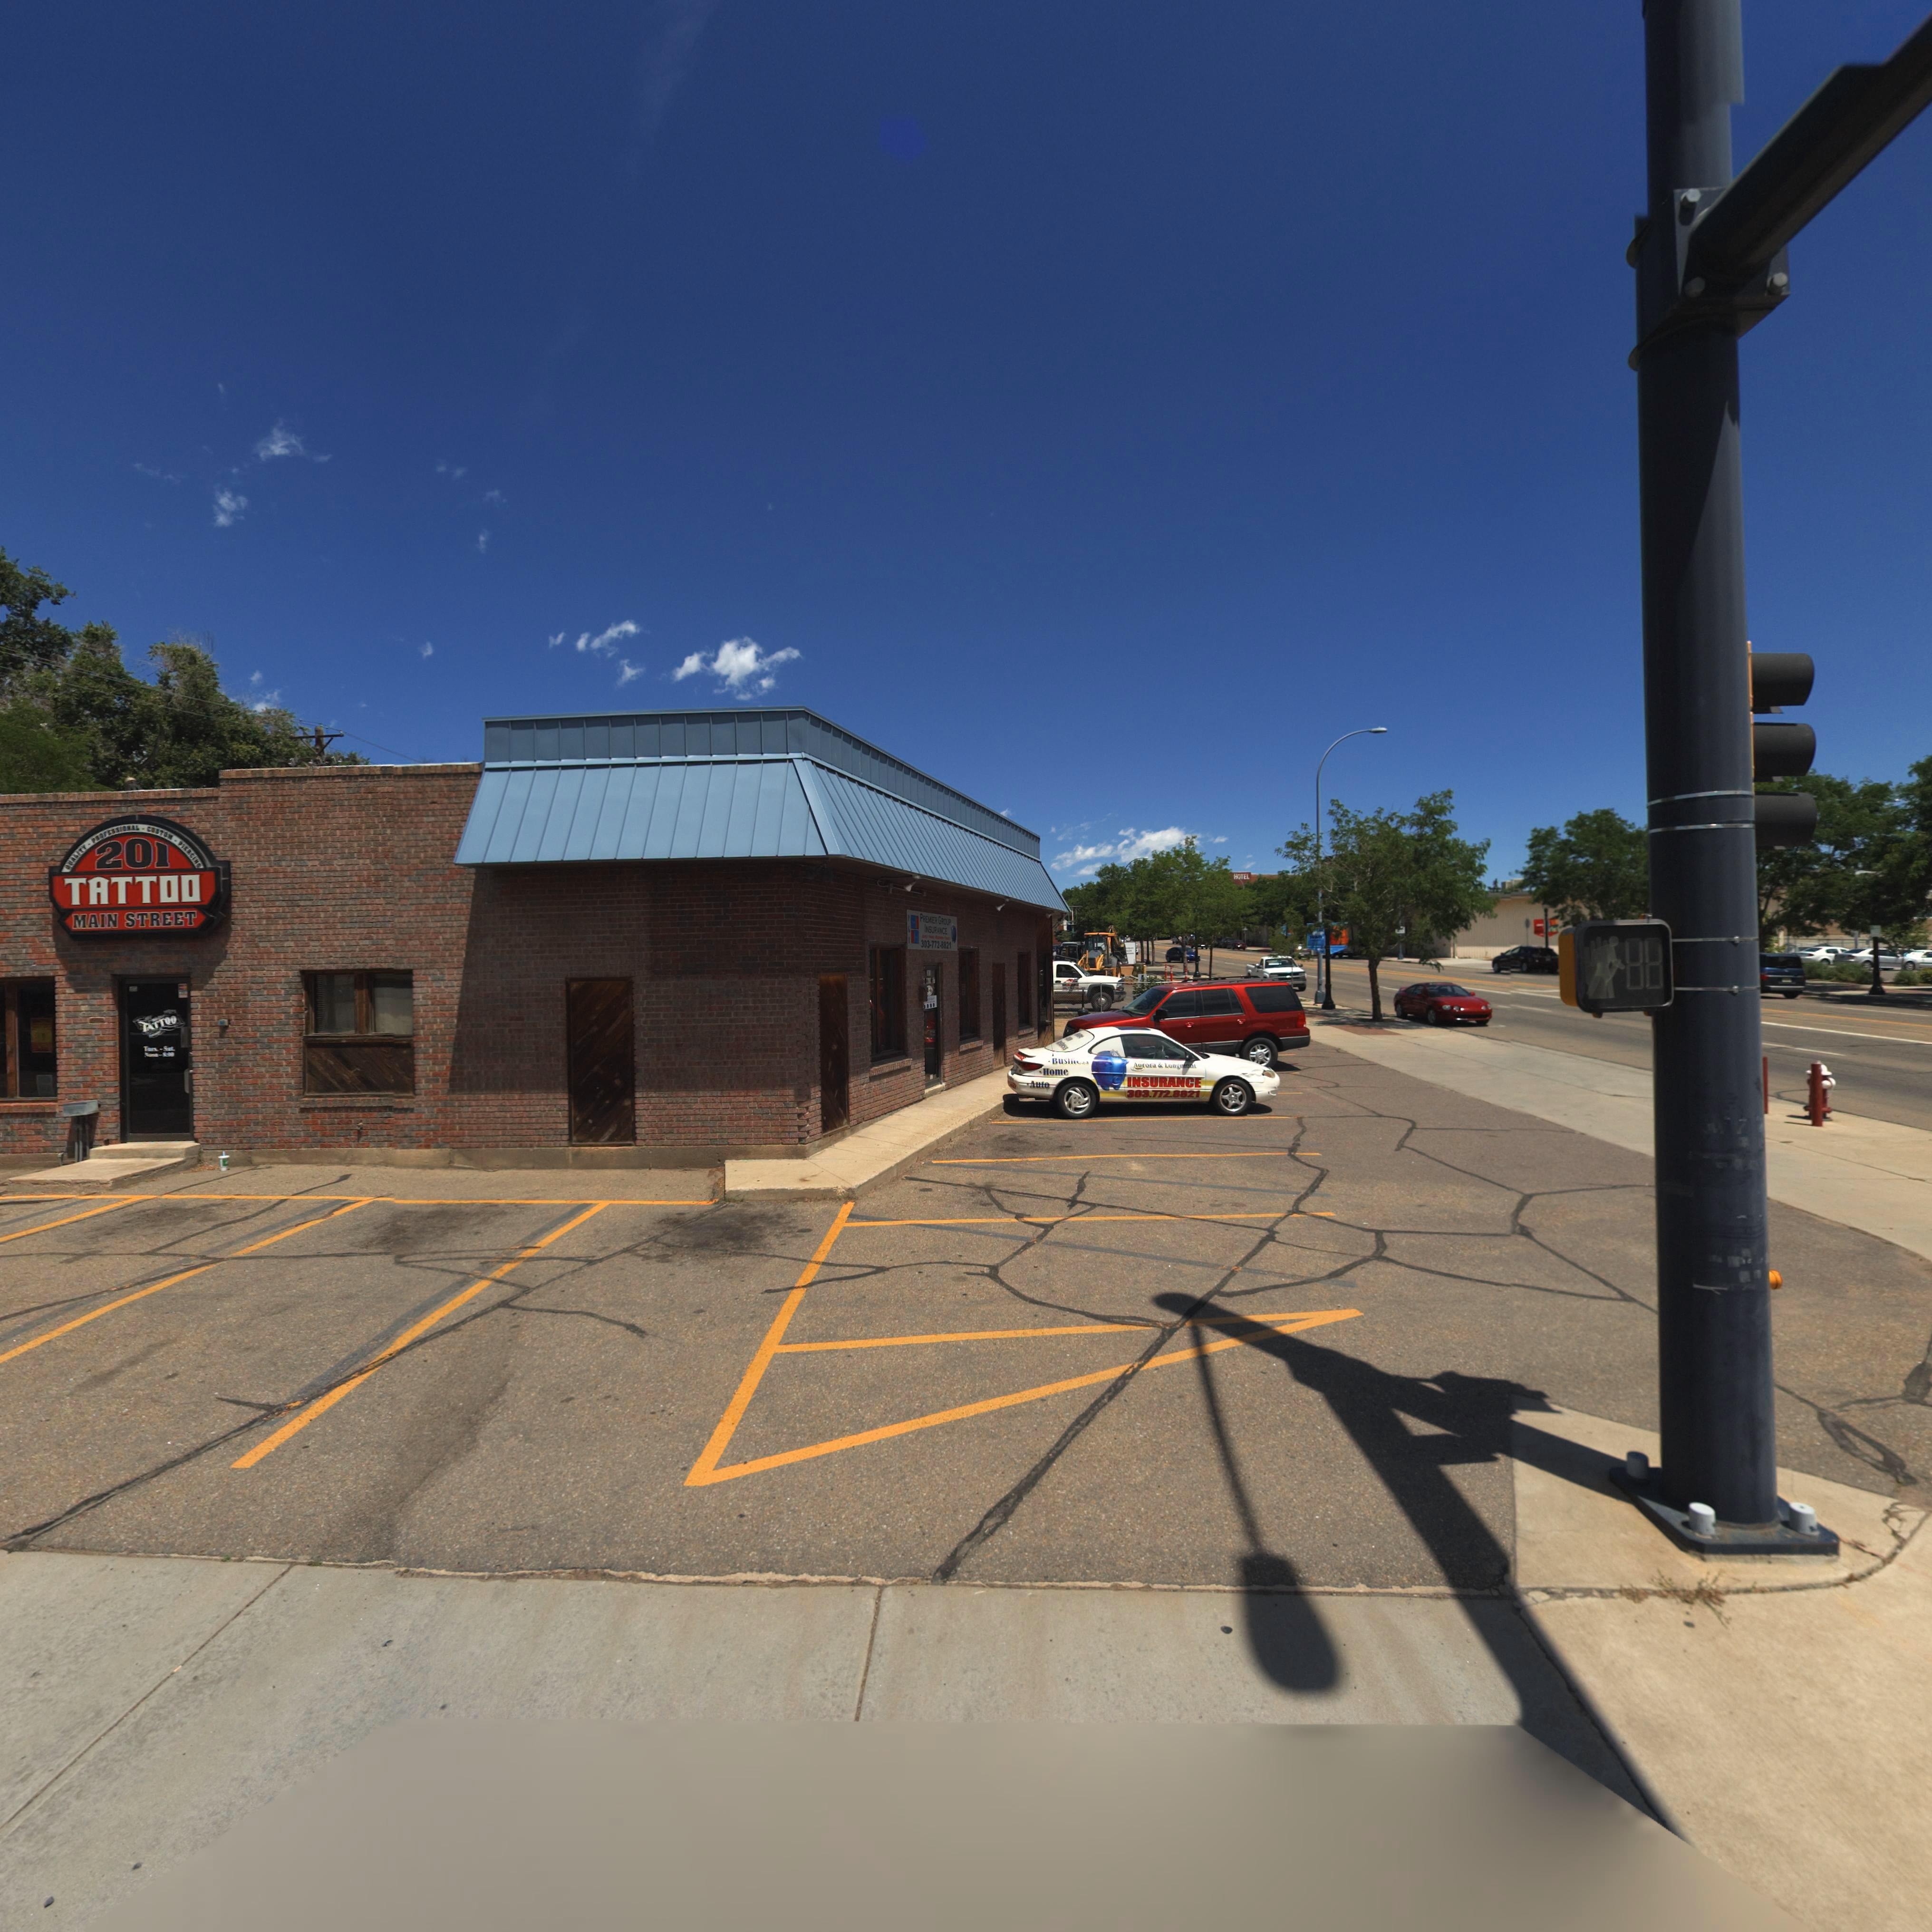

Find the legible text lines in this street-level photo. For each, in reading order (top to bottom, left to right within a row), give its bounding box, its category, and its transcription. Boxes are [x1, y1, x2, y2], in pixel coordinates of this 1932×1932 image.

[94, 837, 170, 870] StreetNumber: 201
[63, 873, 203, 906] BusinessName: TATTOO
[73, 909, 197, 929] BusinessName: MAIN STREET
[919, 913, 951, 926] BusinessName: PREMIER GROUP
[924, 923, 947, 935] BusinessName: INSURANCE
[137, 1014, 178, 1033] BusinessName: TATTOO